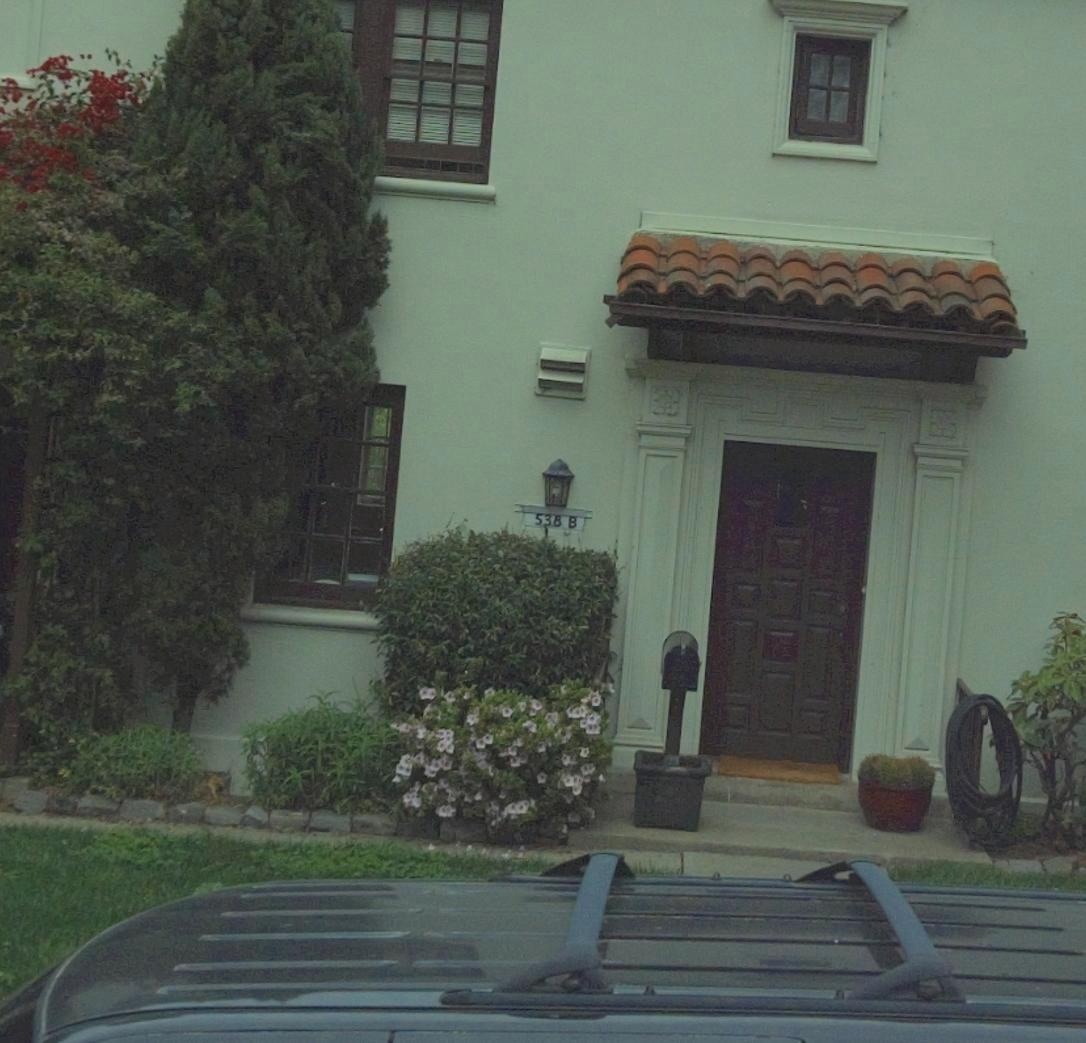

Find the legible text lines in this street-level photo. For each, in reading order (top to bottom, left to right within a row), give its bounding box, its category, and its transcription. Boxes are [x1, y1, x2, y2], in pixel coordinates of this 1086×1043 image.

[534, 512, 578, 531] StreetNumber: 538 B